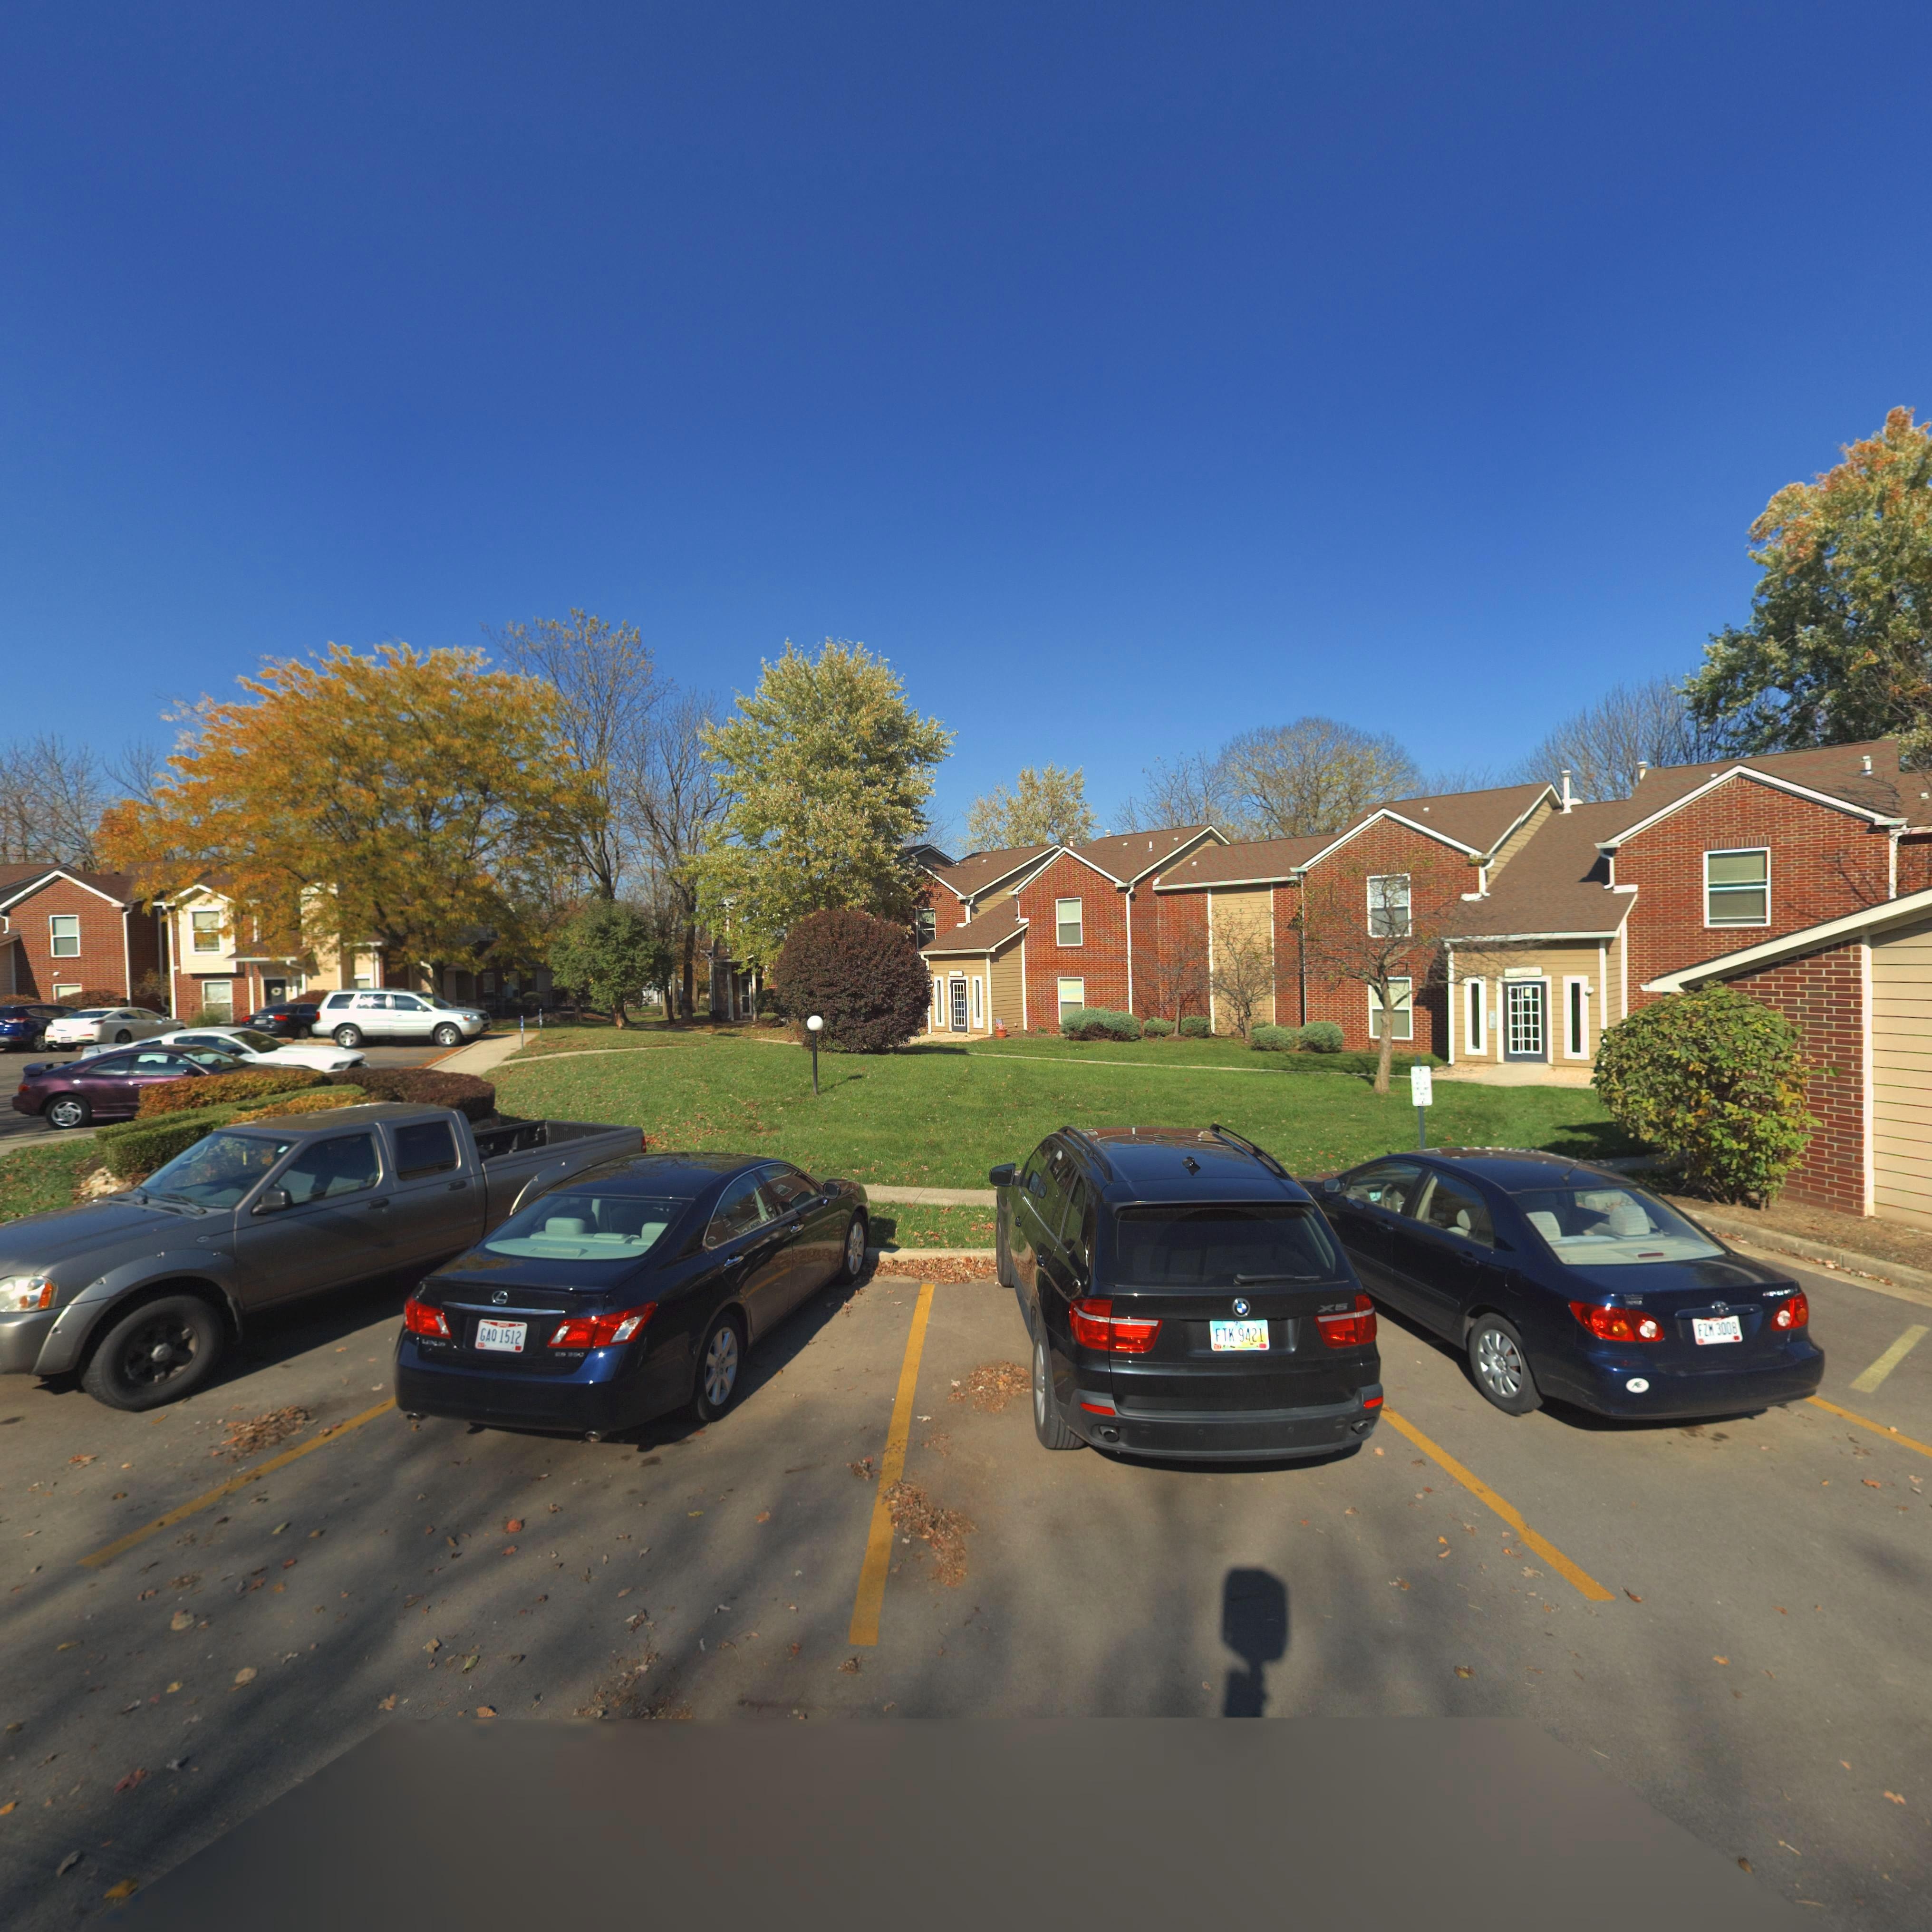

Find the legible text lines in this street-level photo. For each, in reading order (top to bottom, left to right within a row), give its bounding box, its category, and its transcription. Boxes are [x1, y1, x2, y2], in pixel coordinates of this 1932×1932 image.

[1315, 1301, 1350, 1314] None: X5
[478, 1325, 523, 1346] None: GAO 1512
[1214, 1326, 1266, 1344] None: FTK 9421
[1695, 1319, 1742, 1339] None: FZM 3008